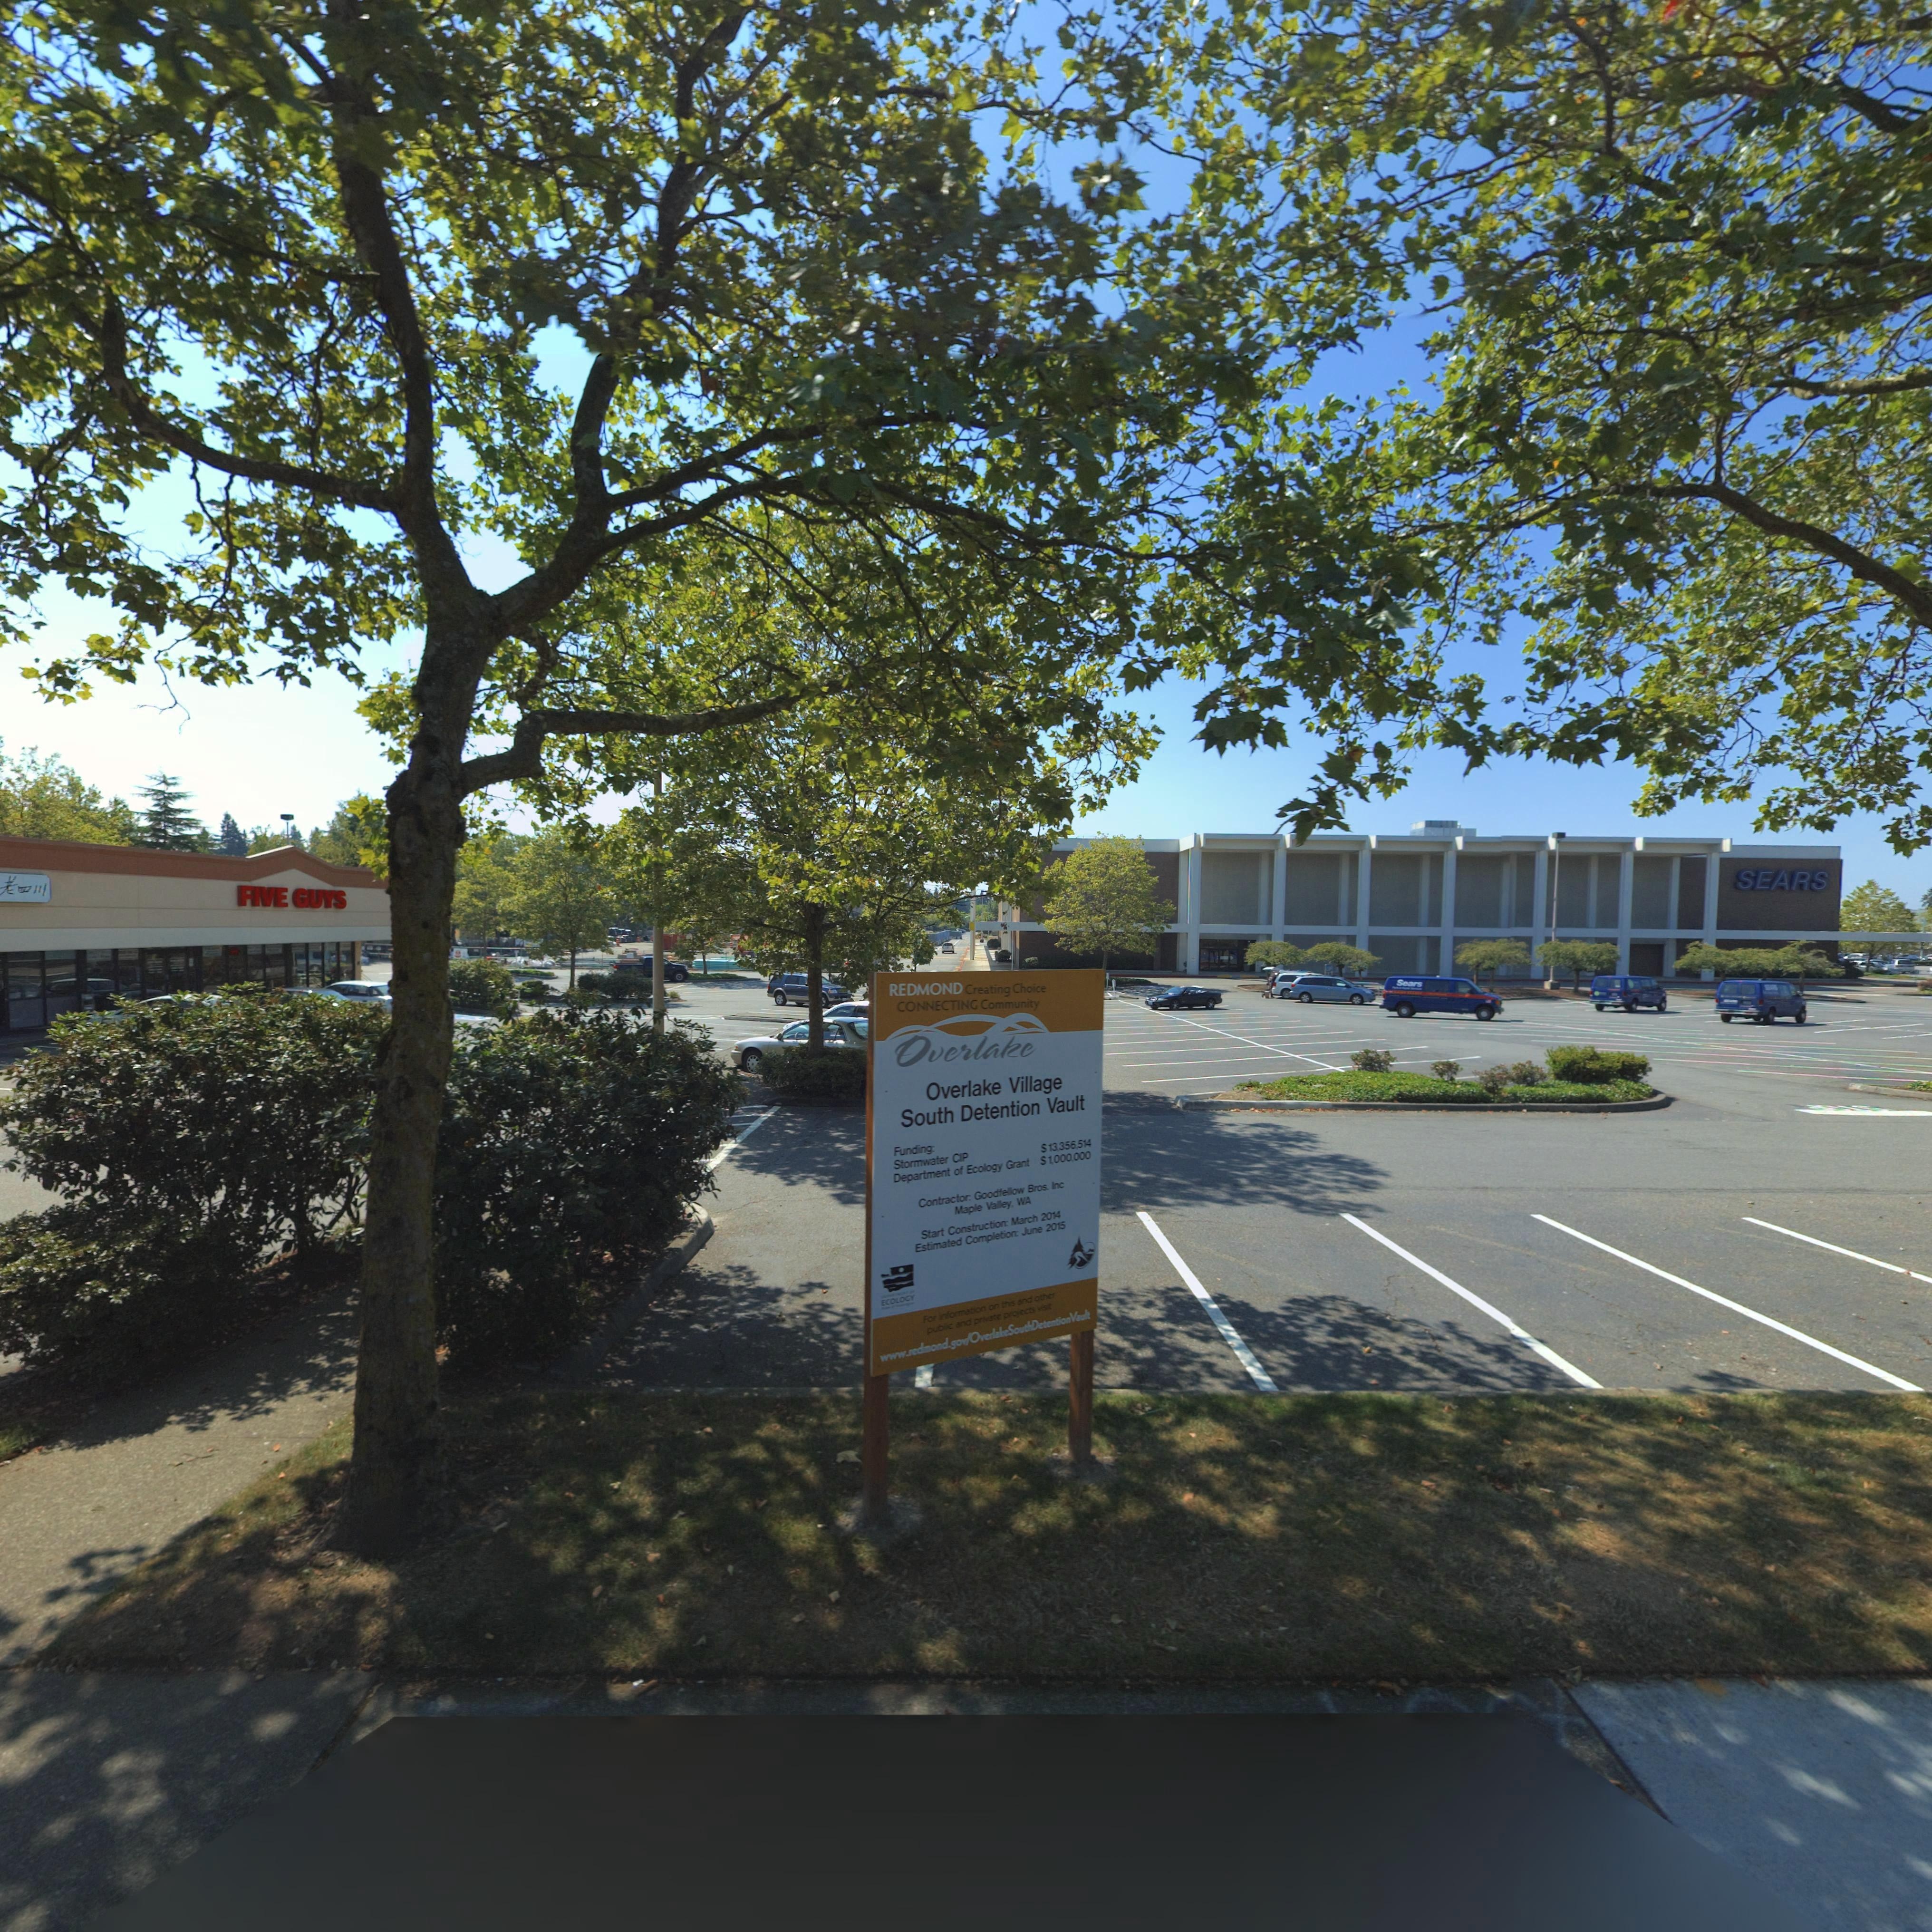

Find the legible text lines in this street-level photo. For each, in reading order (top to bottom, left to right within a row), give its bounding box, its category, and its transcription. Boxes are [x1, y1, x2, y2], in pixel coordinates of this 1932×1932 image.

[1734, 867, 1830, 891] BusinessName: SEARS
[235, 883, 349, 911] BusinessName: FIVE GUYS
[888, 981, 1047, 998] SecondaryUnitDesignator: REDMOND Creating Choice
[1395, 978, 1423, 987] BusinessName: Sears
[896, 996, 1042, 1013] BusinessName: CONNECTING Community
[892, 1034, 1041, 1069] BusinessName: Overlake
[926, 1072, 1064, 1101] BusinessName: Overlake Village